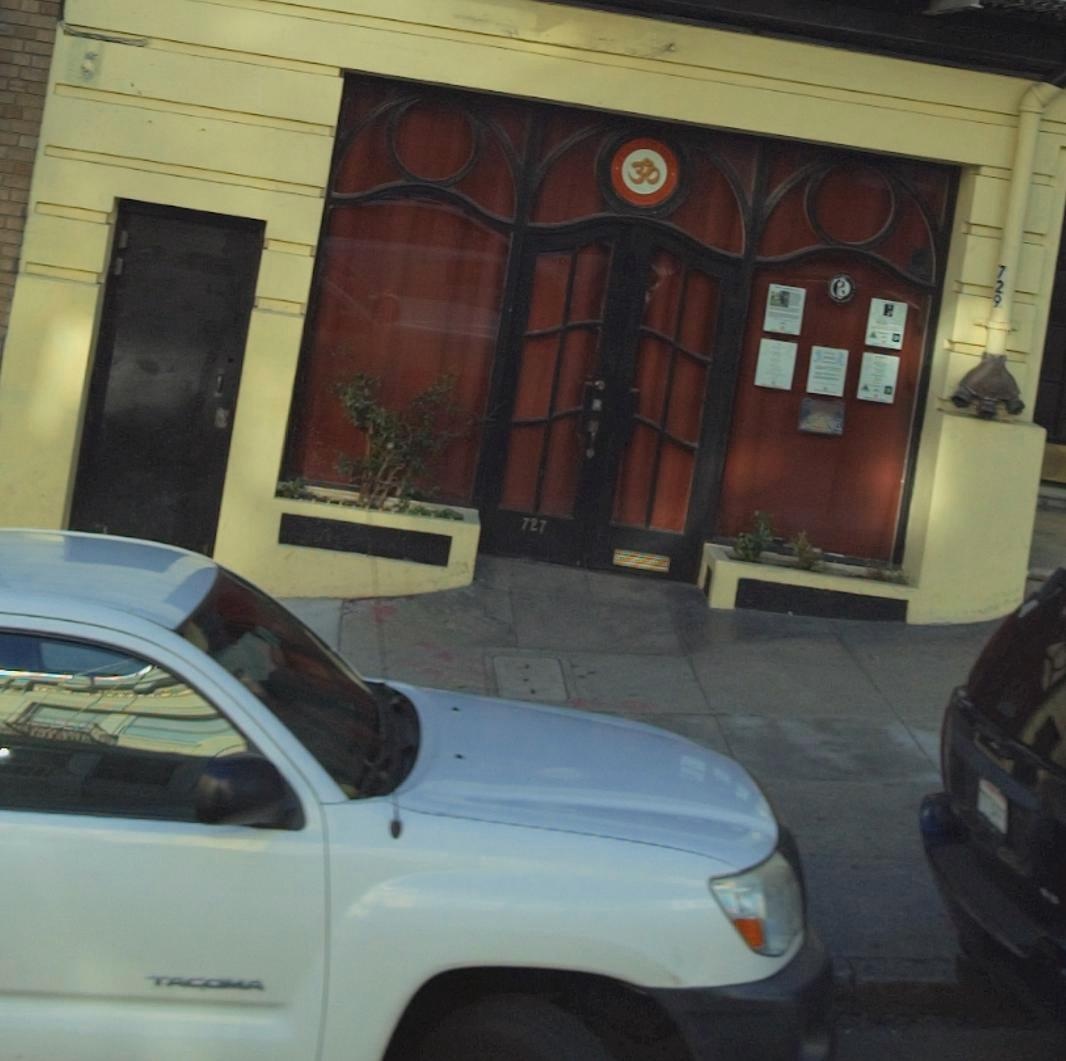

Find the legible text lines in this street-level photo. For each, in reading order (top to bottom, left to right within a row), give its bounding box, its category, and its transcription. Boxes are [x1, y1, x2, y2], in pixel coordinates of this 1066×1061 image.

[990, 262, 1009, 311] StreetNumber: 729
[518, 516, 551, 536] StreetNumber: 727
[143, 973, 267, 993] None: TACOMA